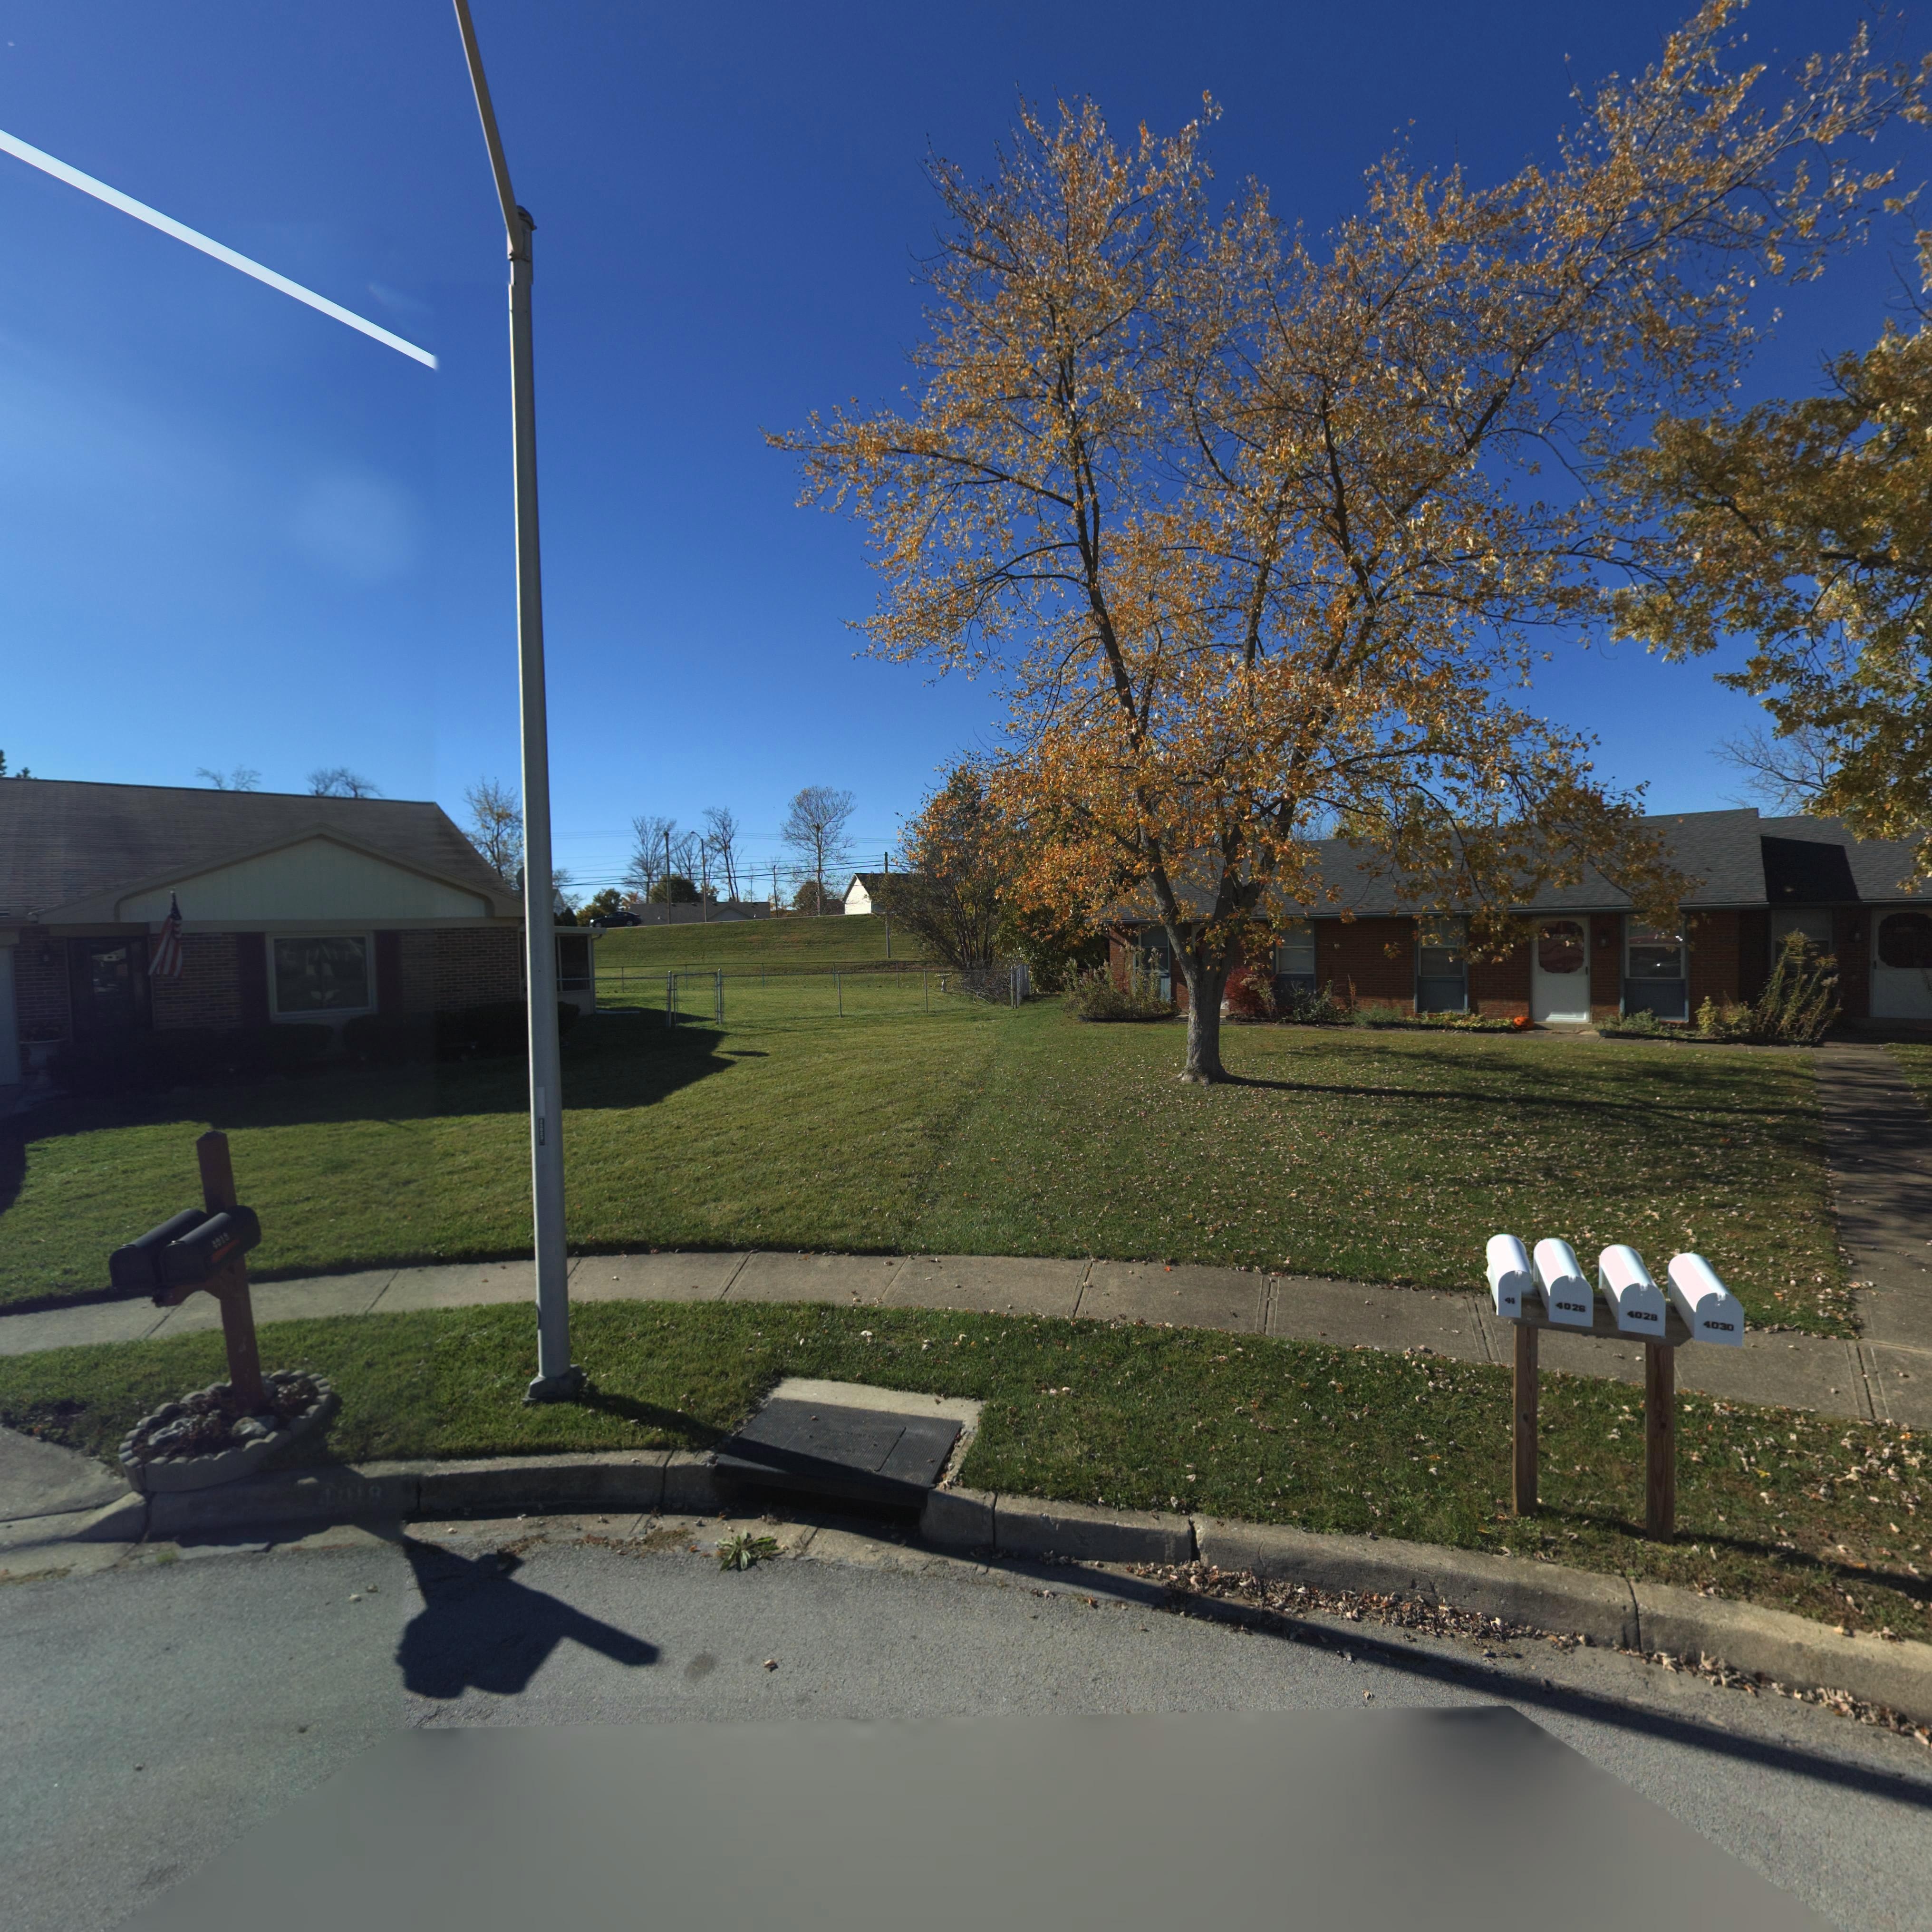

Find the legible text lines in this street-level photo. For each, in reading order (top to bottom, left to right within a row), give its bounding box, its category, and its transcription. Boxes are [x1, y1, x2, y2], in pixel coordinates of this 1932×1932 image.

[1895, 927, 1919, 932] StreetNumber: 40**
[1552, 934, 1572, 940] StreetNumber: 402*
[211, 1231, 231, 1249] StreetNumber: 4018
[1503, 1296, 1511, 1304] StreetNumber: 4
[1555, 1301, 1586, 1313] StreetNumber: 4026
[1626, 1310, 1658, 1322] StreetNumber: 4028
[1702, 1320, 1735, 1332] StreetNumber: 4030